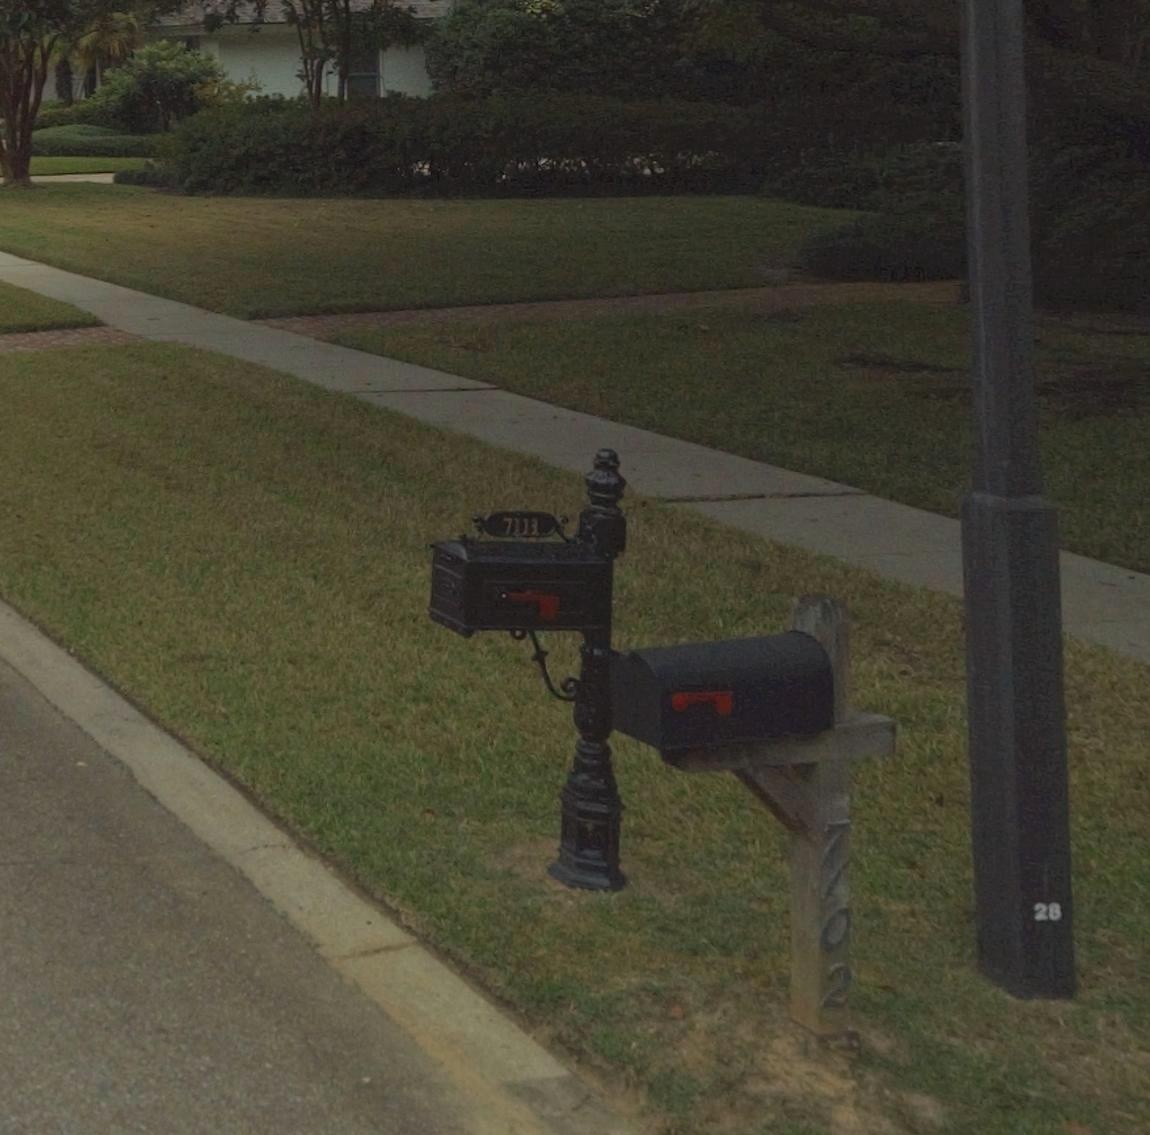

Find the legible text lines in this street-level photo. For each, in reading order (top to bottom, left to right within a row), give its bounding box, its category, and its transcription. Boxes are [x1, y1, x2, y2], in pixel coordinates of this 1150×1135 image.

[502, 517, 541, 536] StreetNumber: 7111